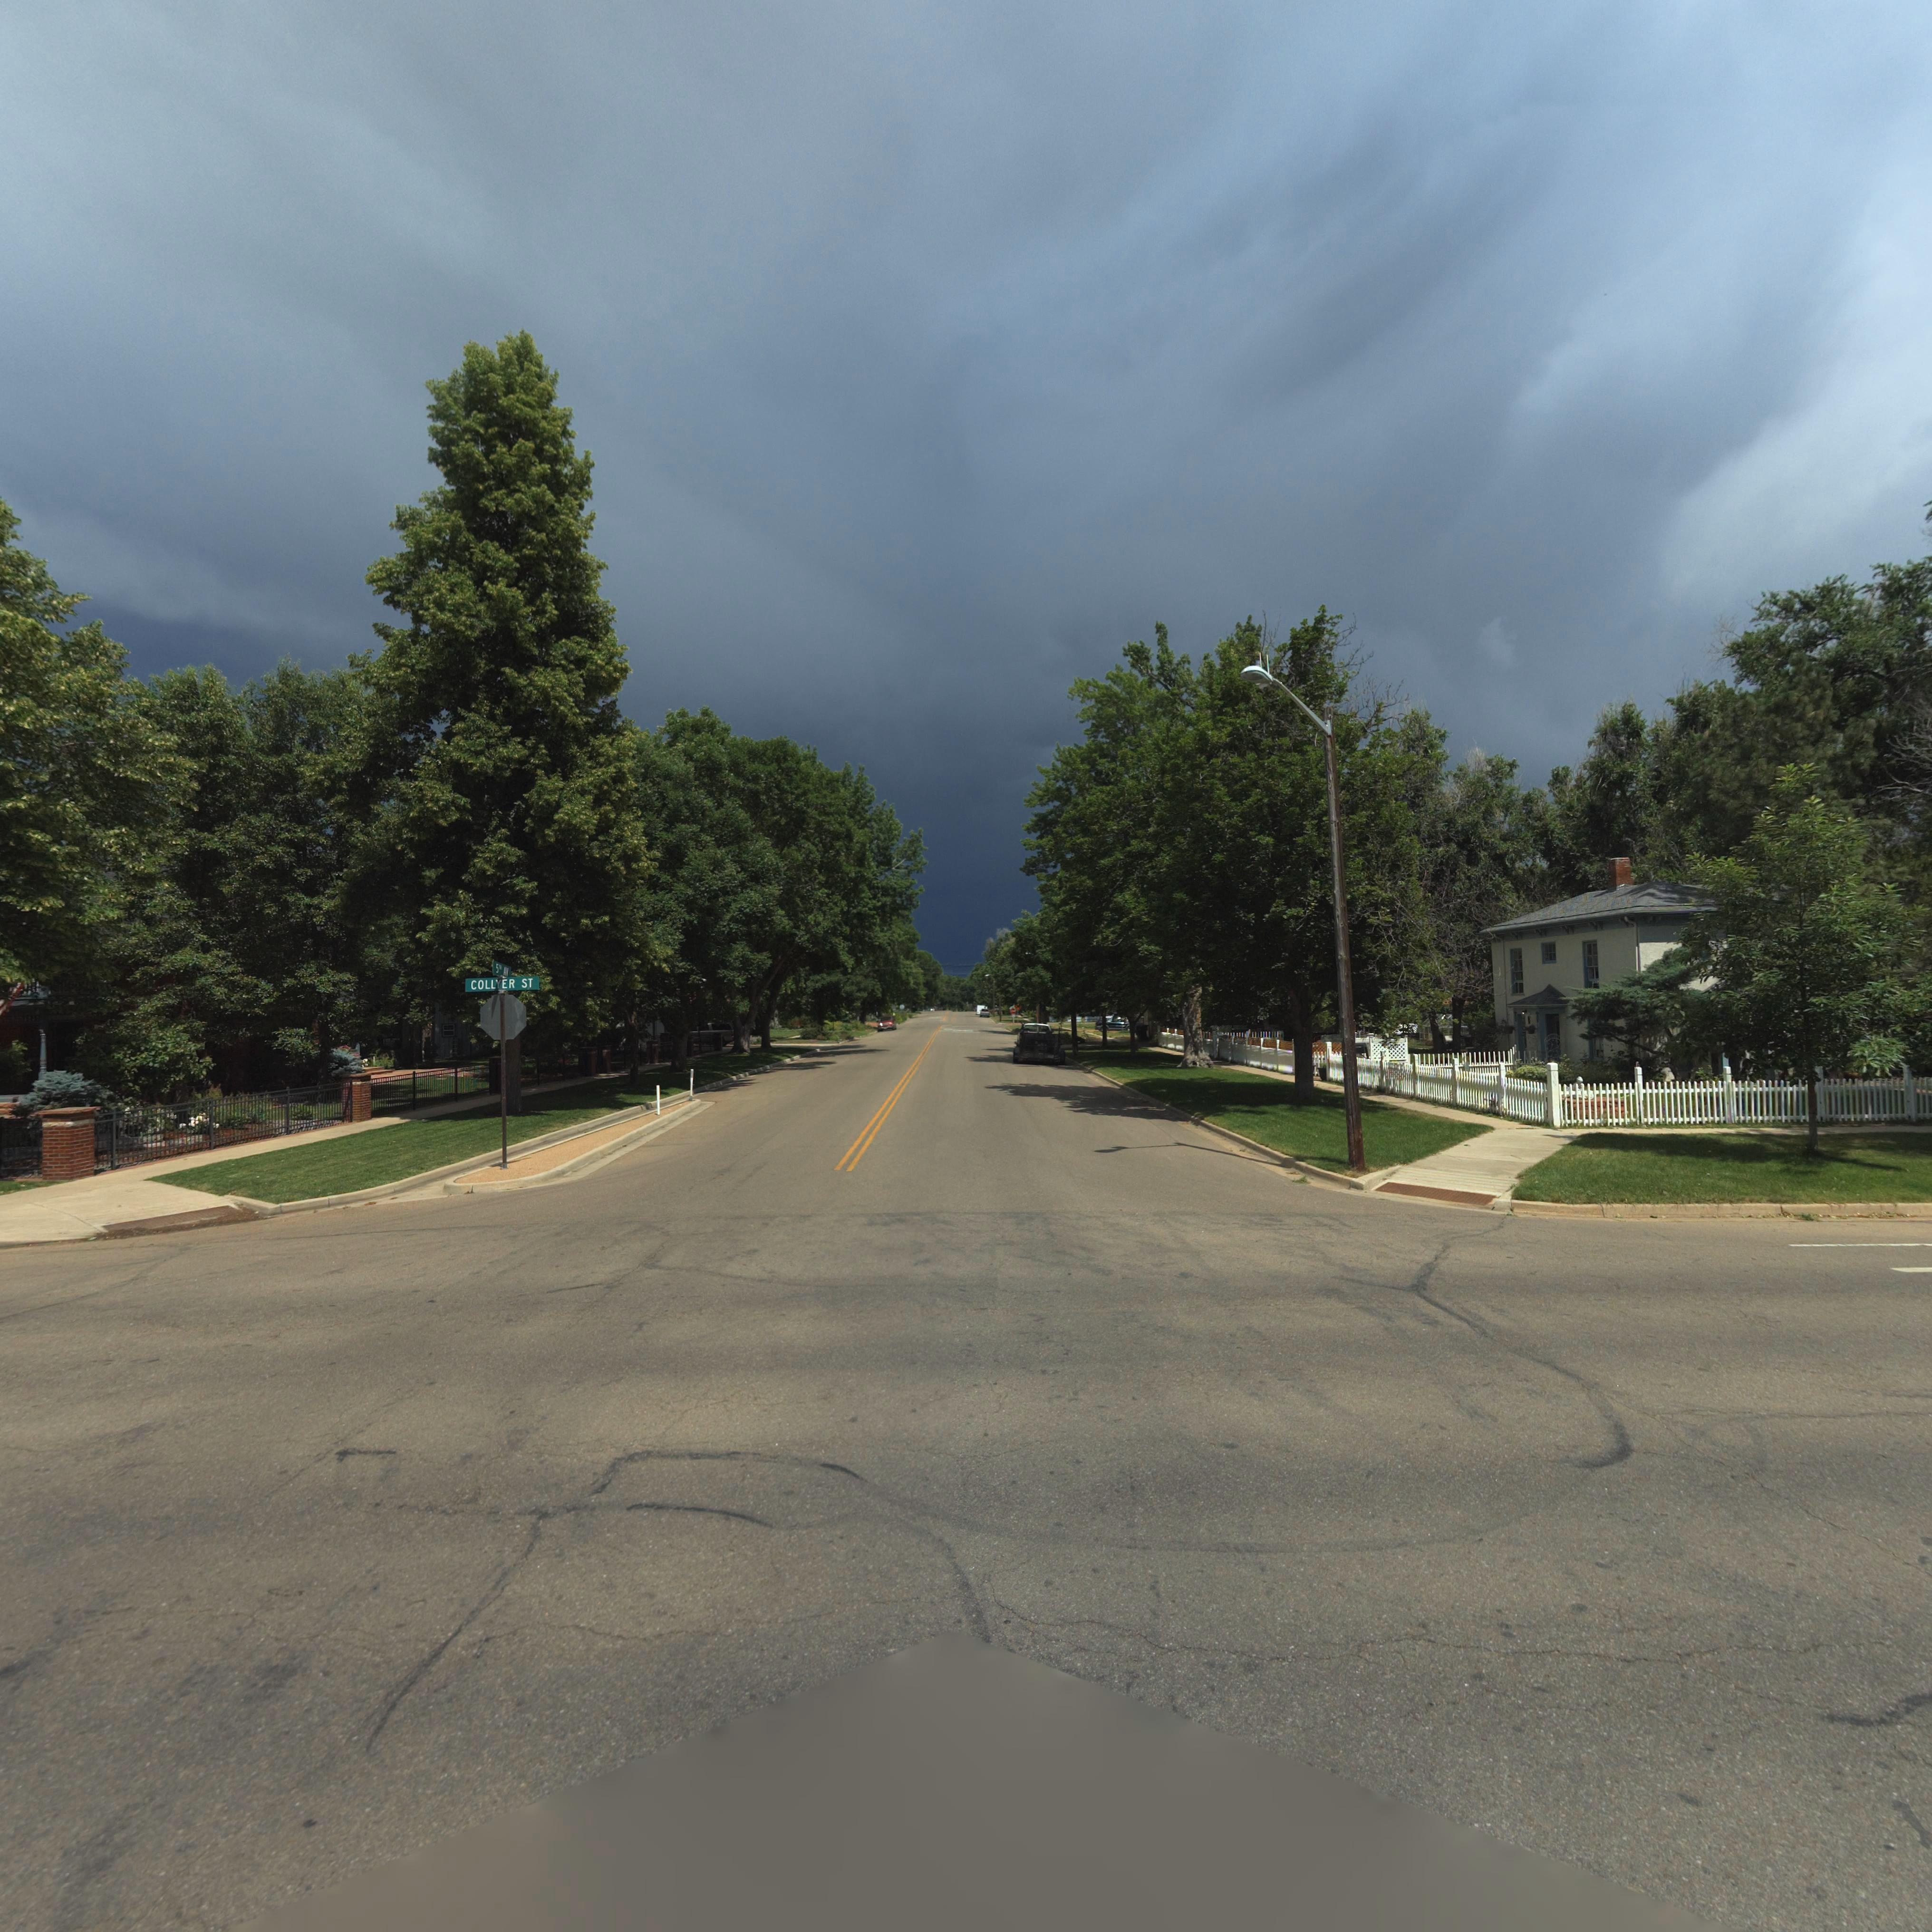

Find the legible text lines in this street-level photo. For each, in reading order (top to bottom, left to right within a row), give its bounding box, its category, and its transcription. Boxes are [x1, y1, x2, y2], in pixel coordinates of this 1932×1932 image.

[495, 963, 509, 976] StreetName: 5TH AV
[470, 978, 533, 990] StreetName: COLLYER ST